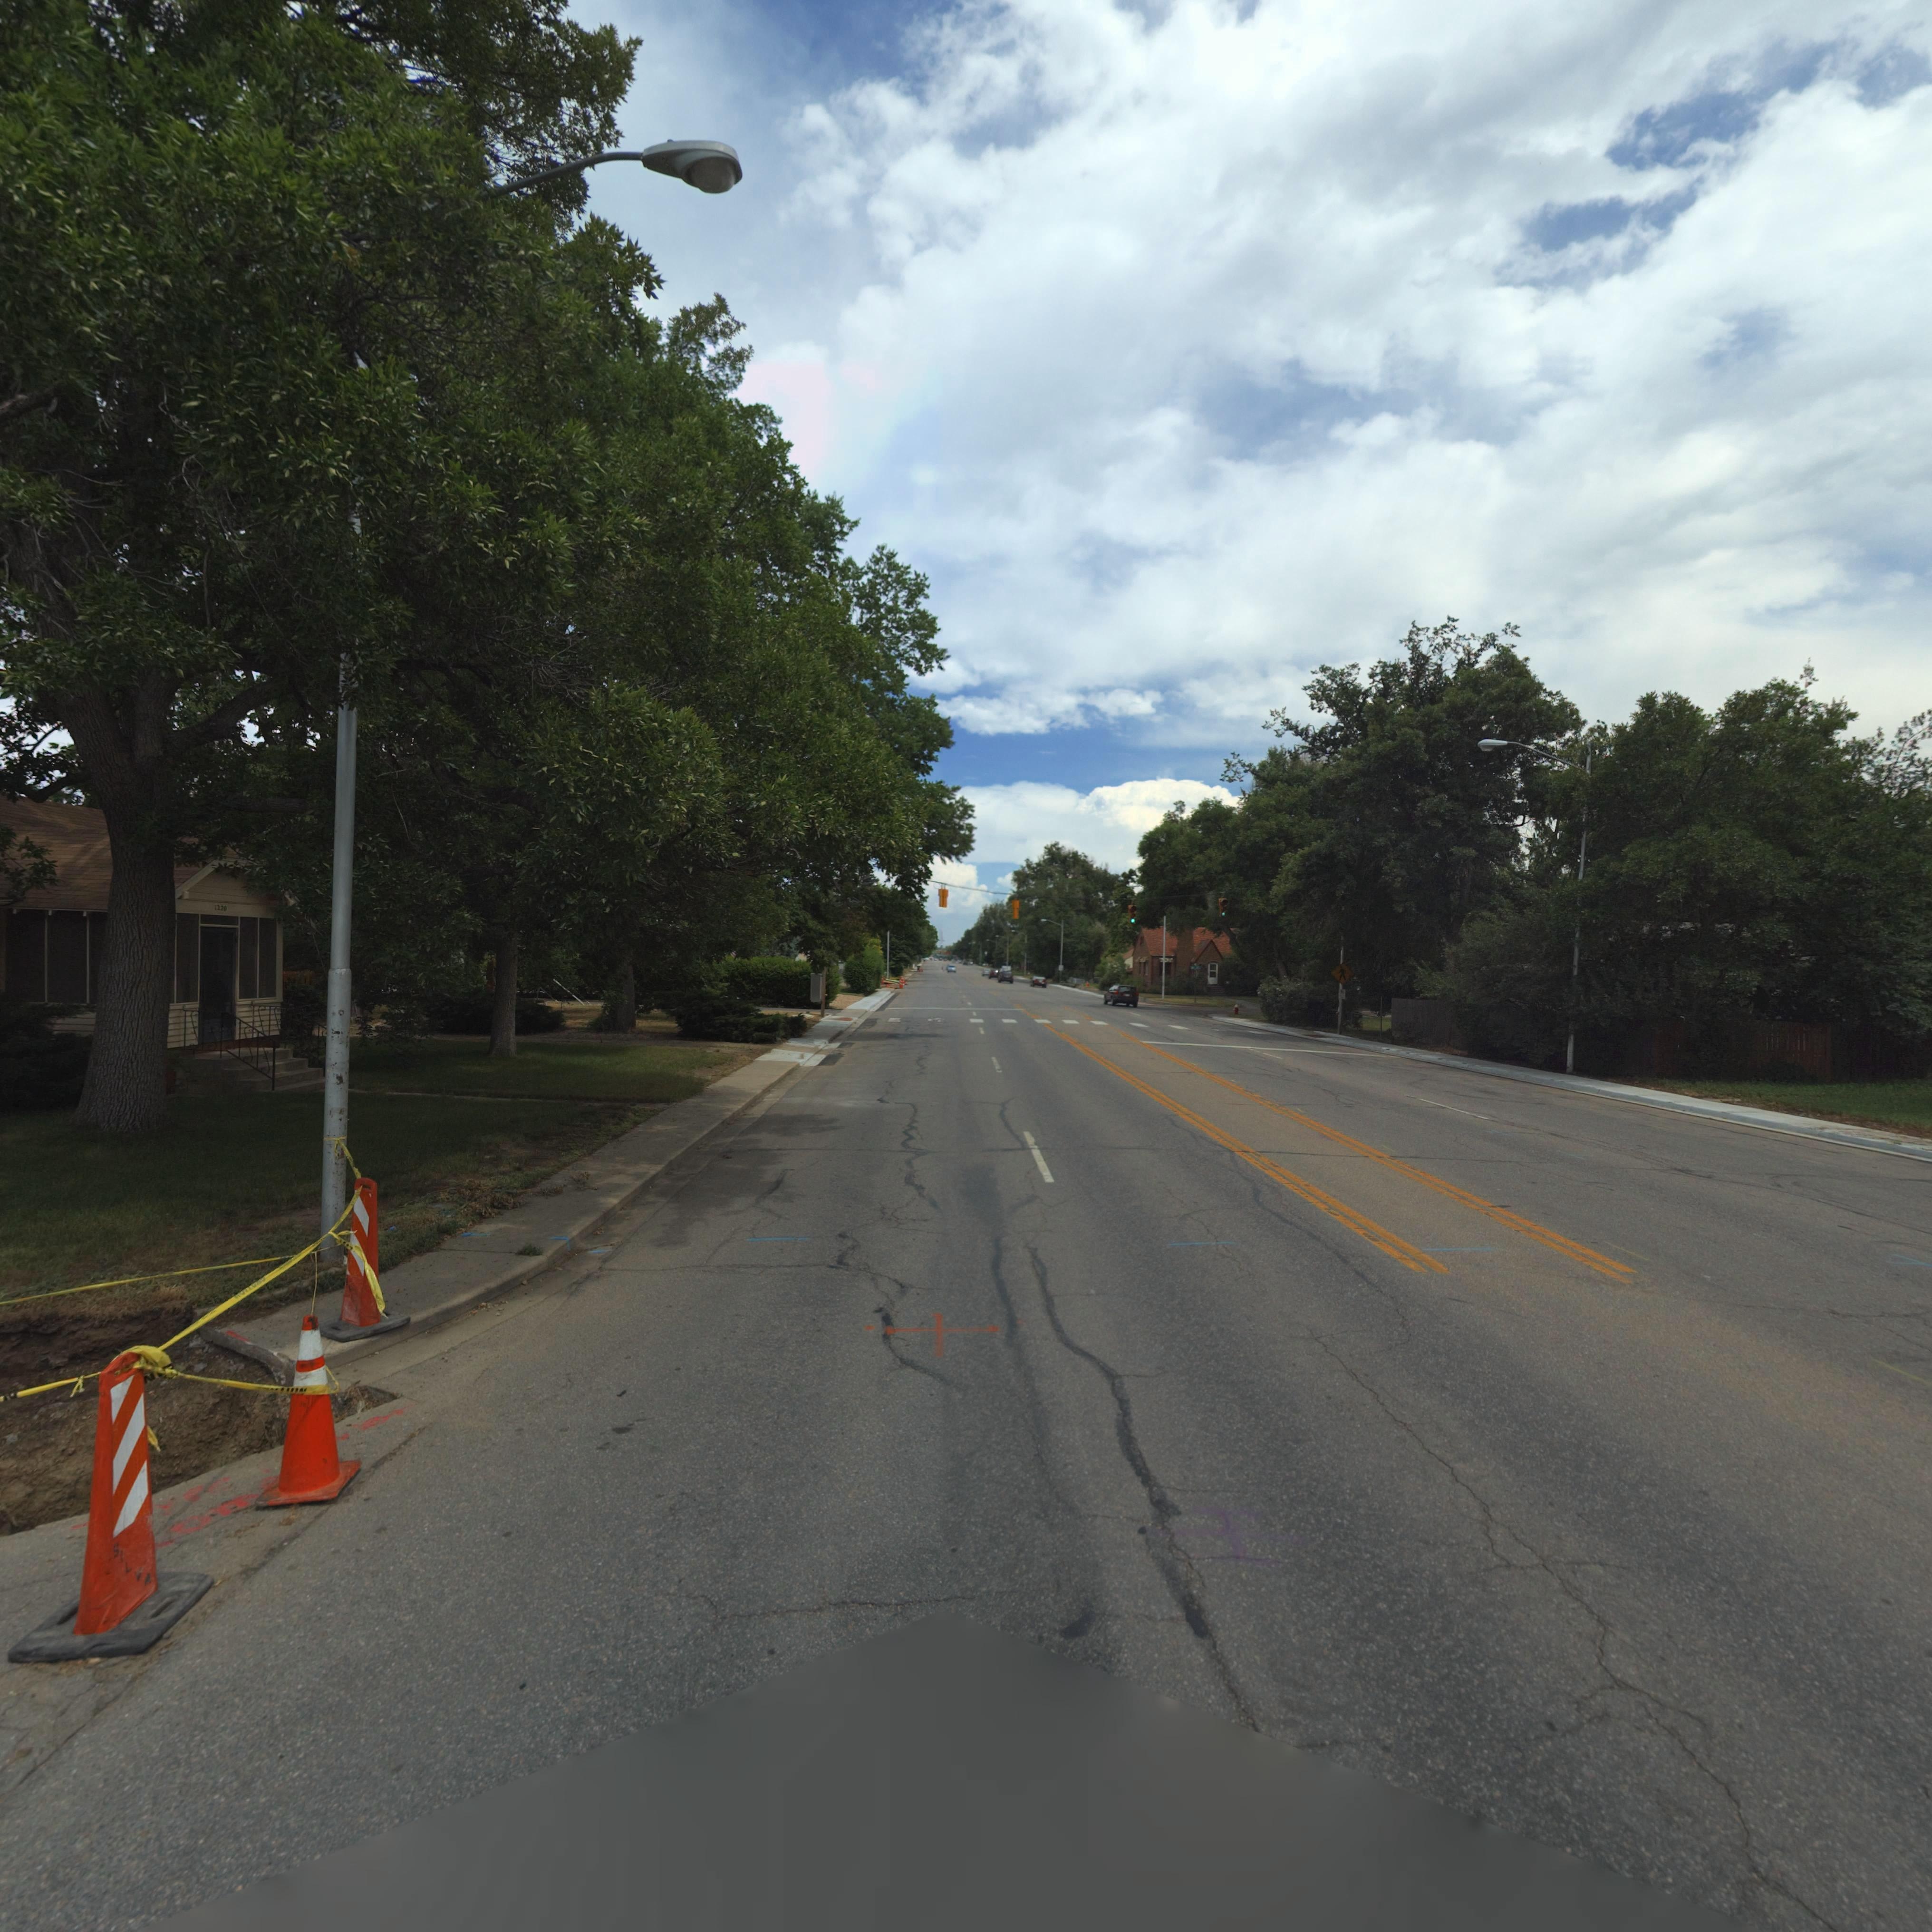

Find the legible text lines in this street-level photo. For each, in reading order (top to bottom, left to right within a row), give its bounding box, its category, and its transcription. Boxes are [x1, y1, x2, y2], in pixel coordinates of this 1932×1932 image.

[214, 904, 227, 911] StreetNumber: 1220